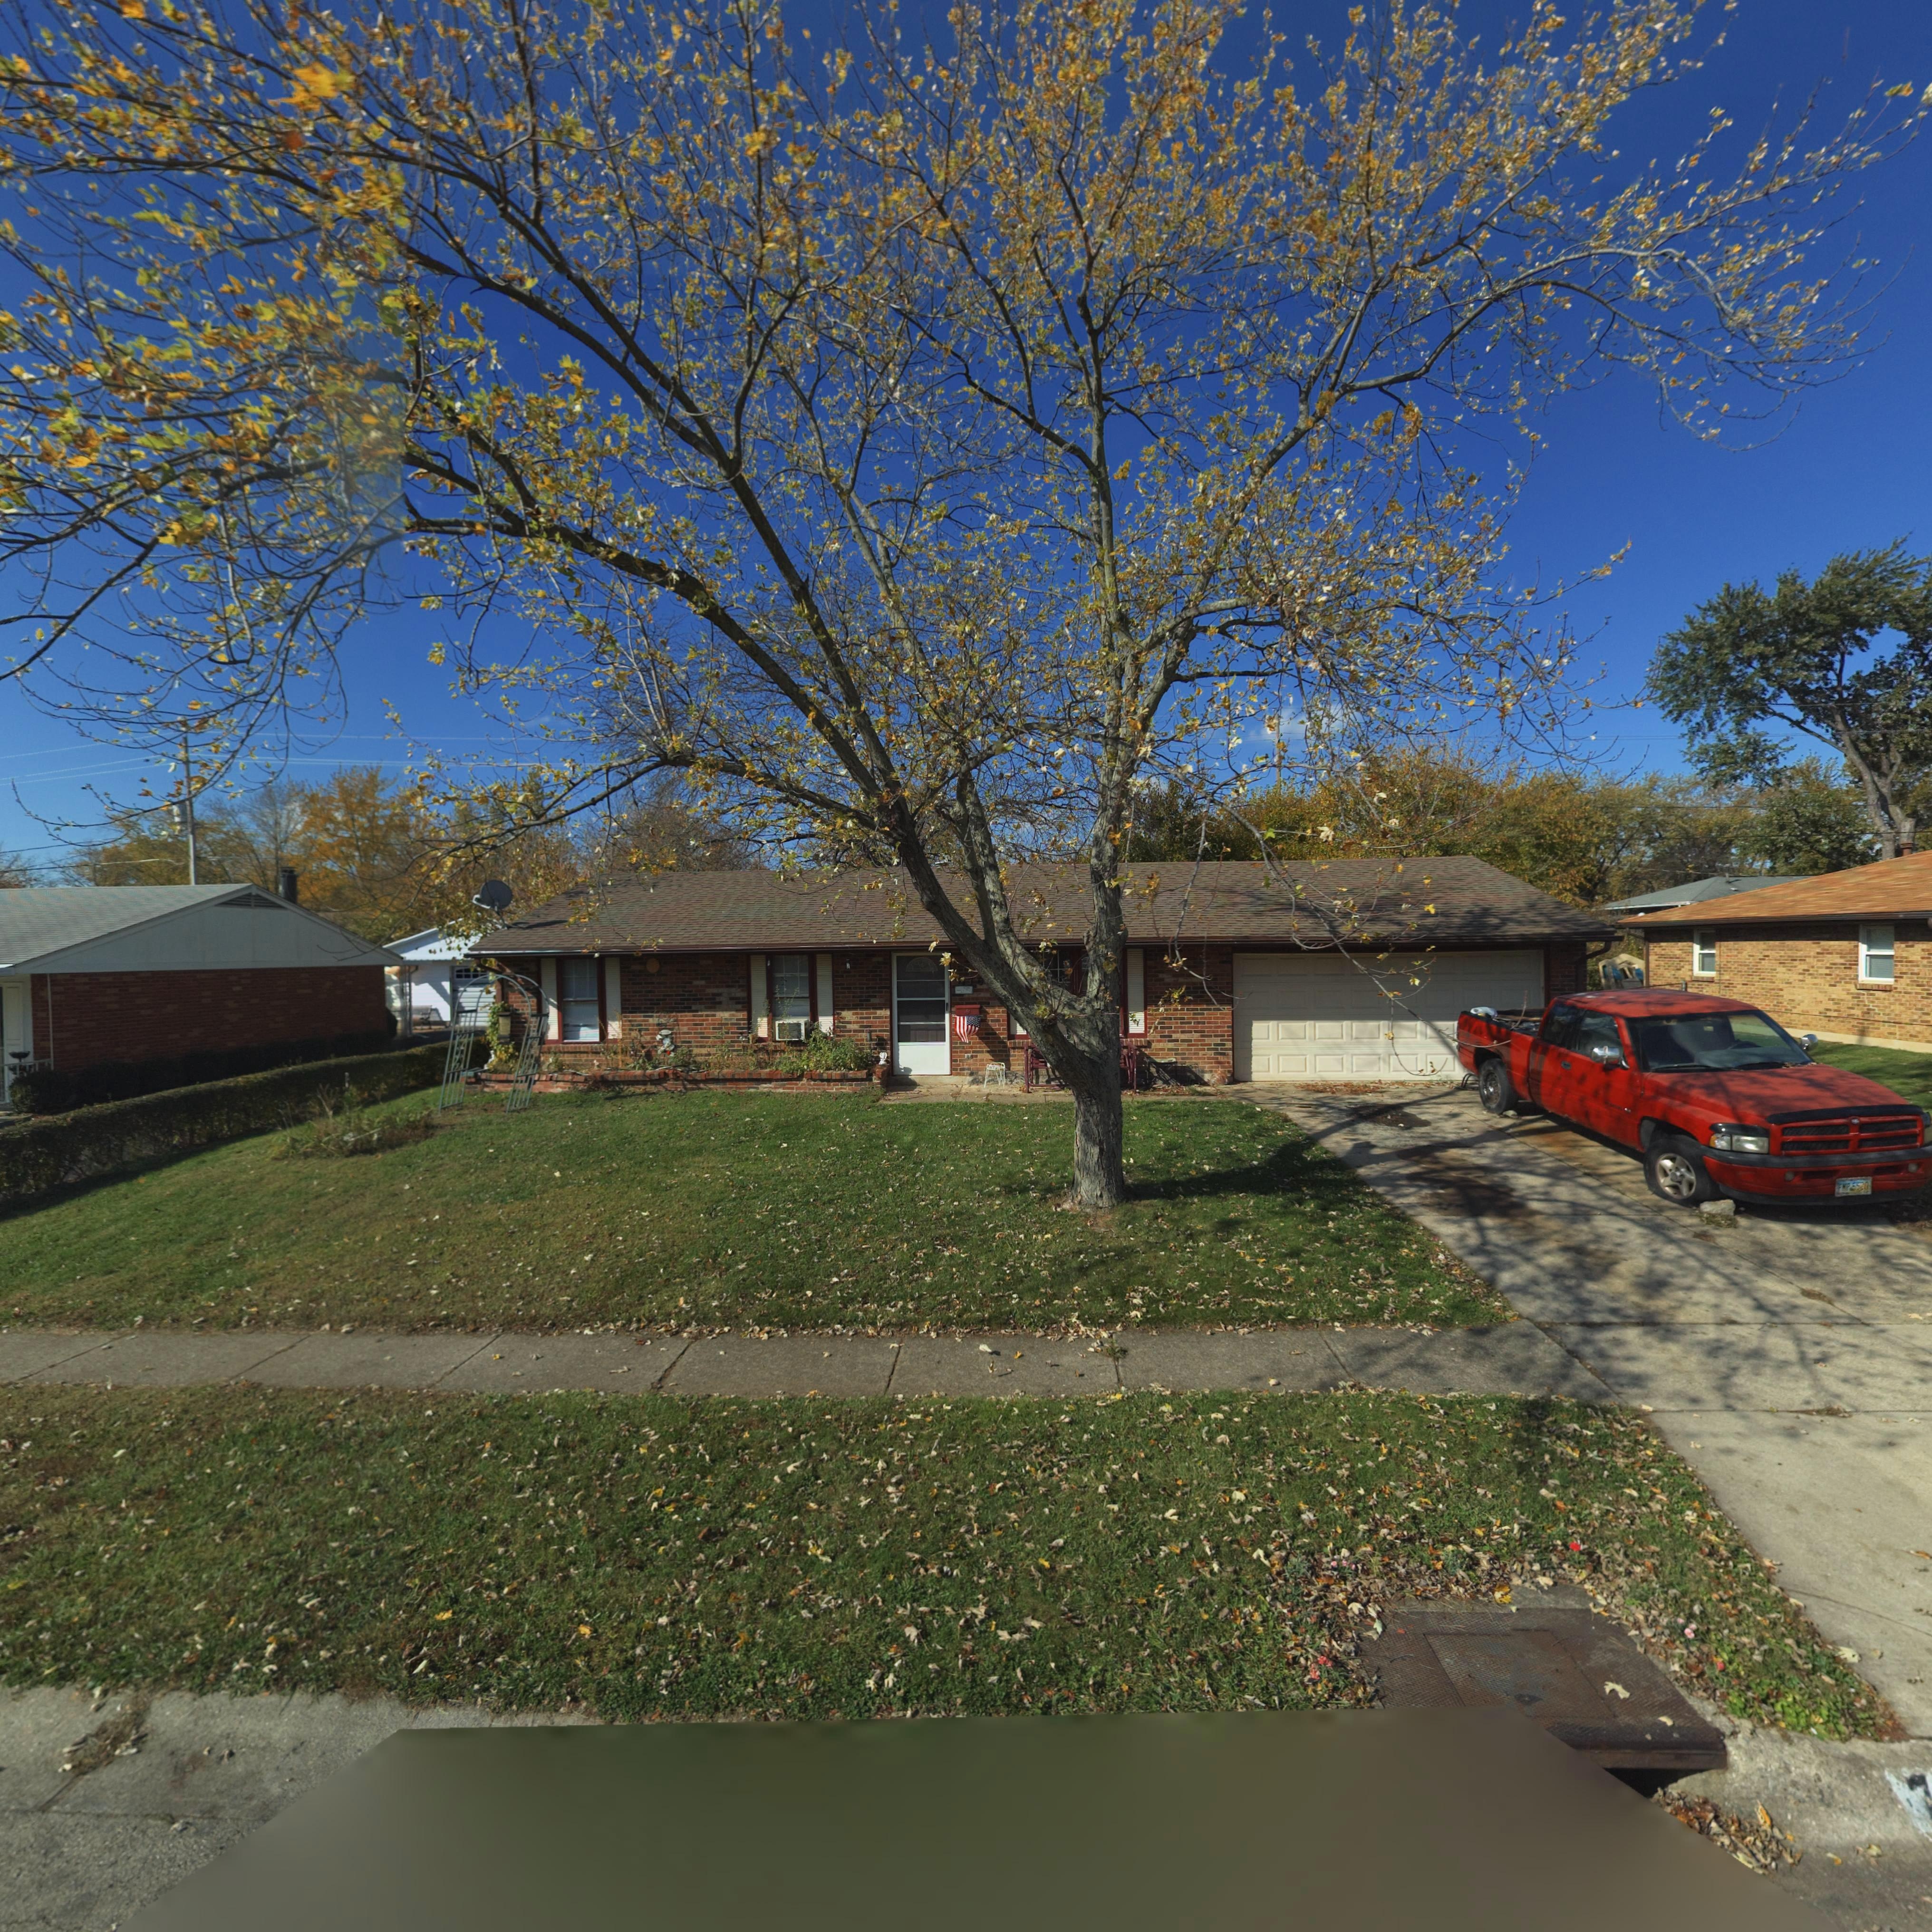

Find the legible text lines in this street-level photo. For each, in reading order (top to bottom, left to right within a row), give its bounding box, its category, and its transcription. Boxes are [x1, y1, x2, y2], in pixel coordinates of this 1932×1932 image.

[976, 976, 985, 987] StreetNumber: 0